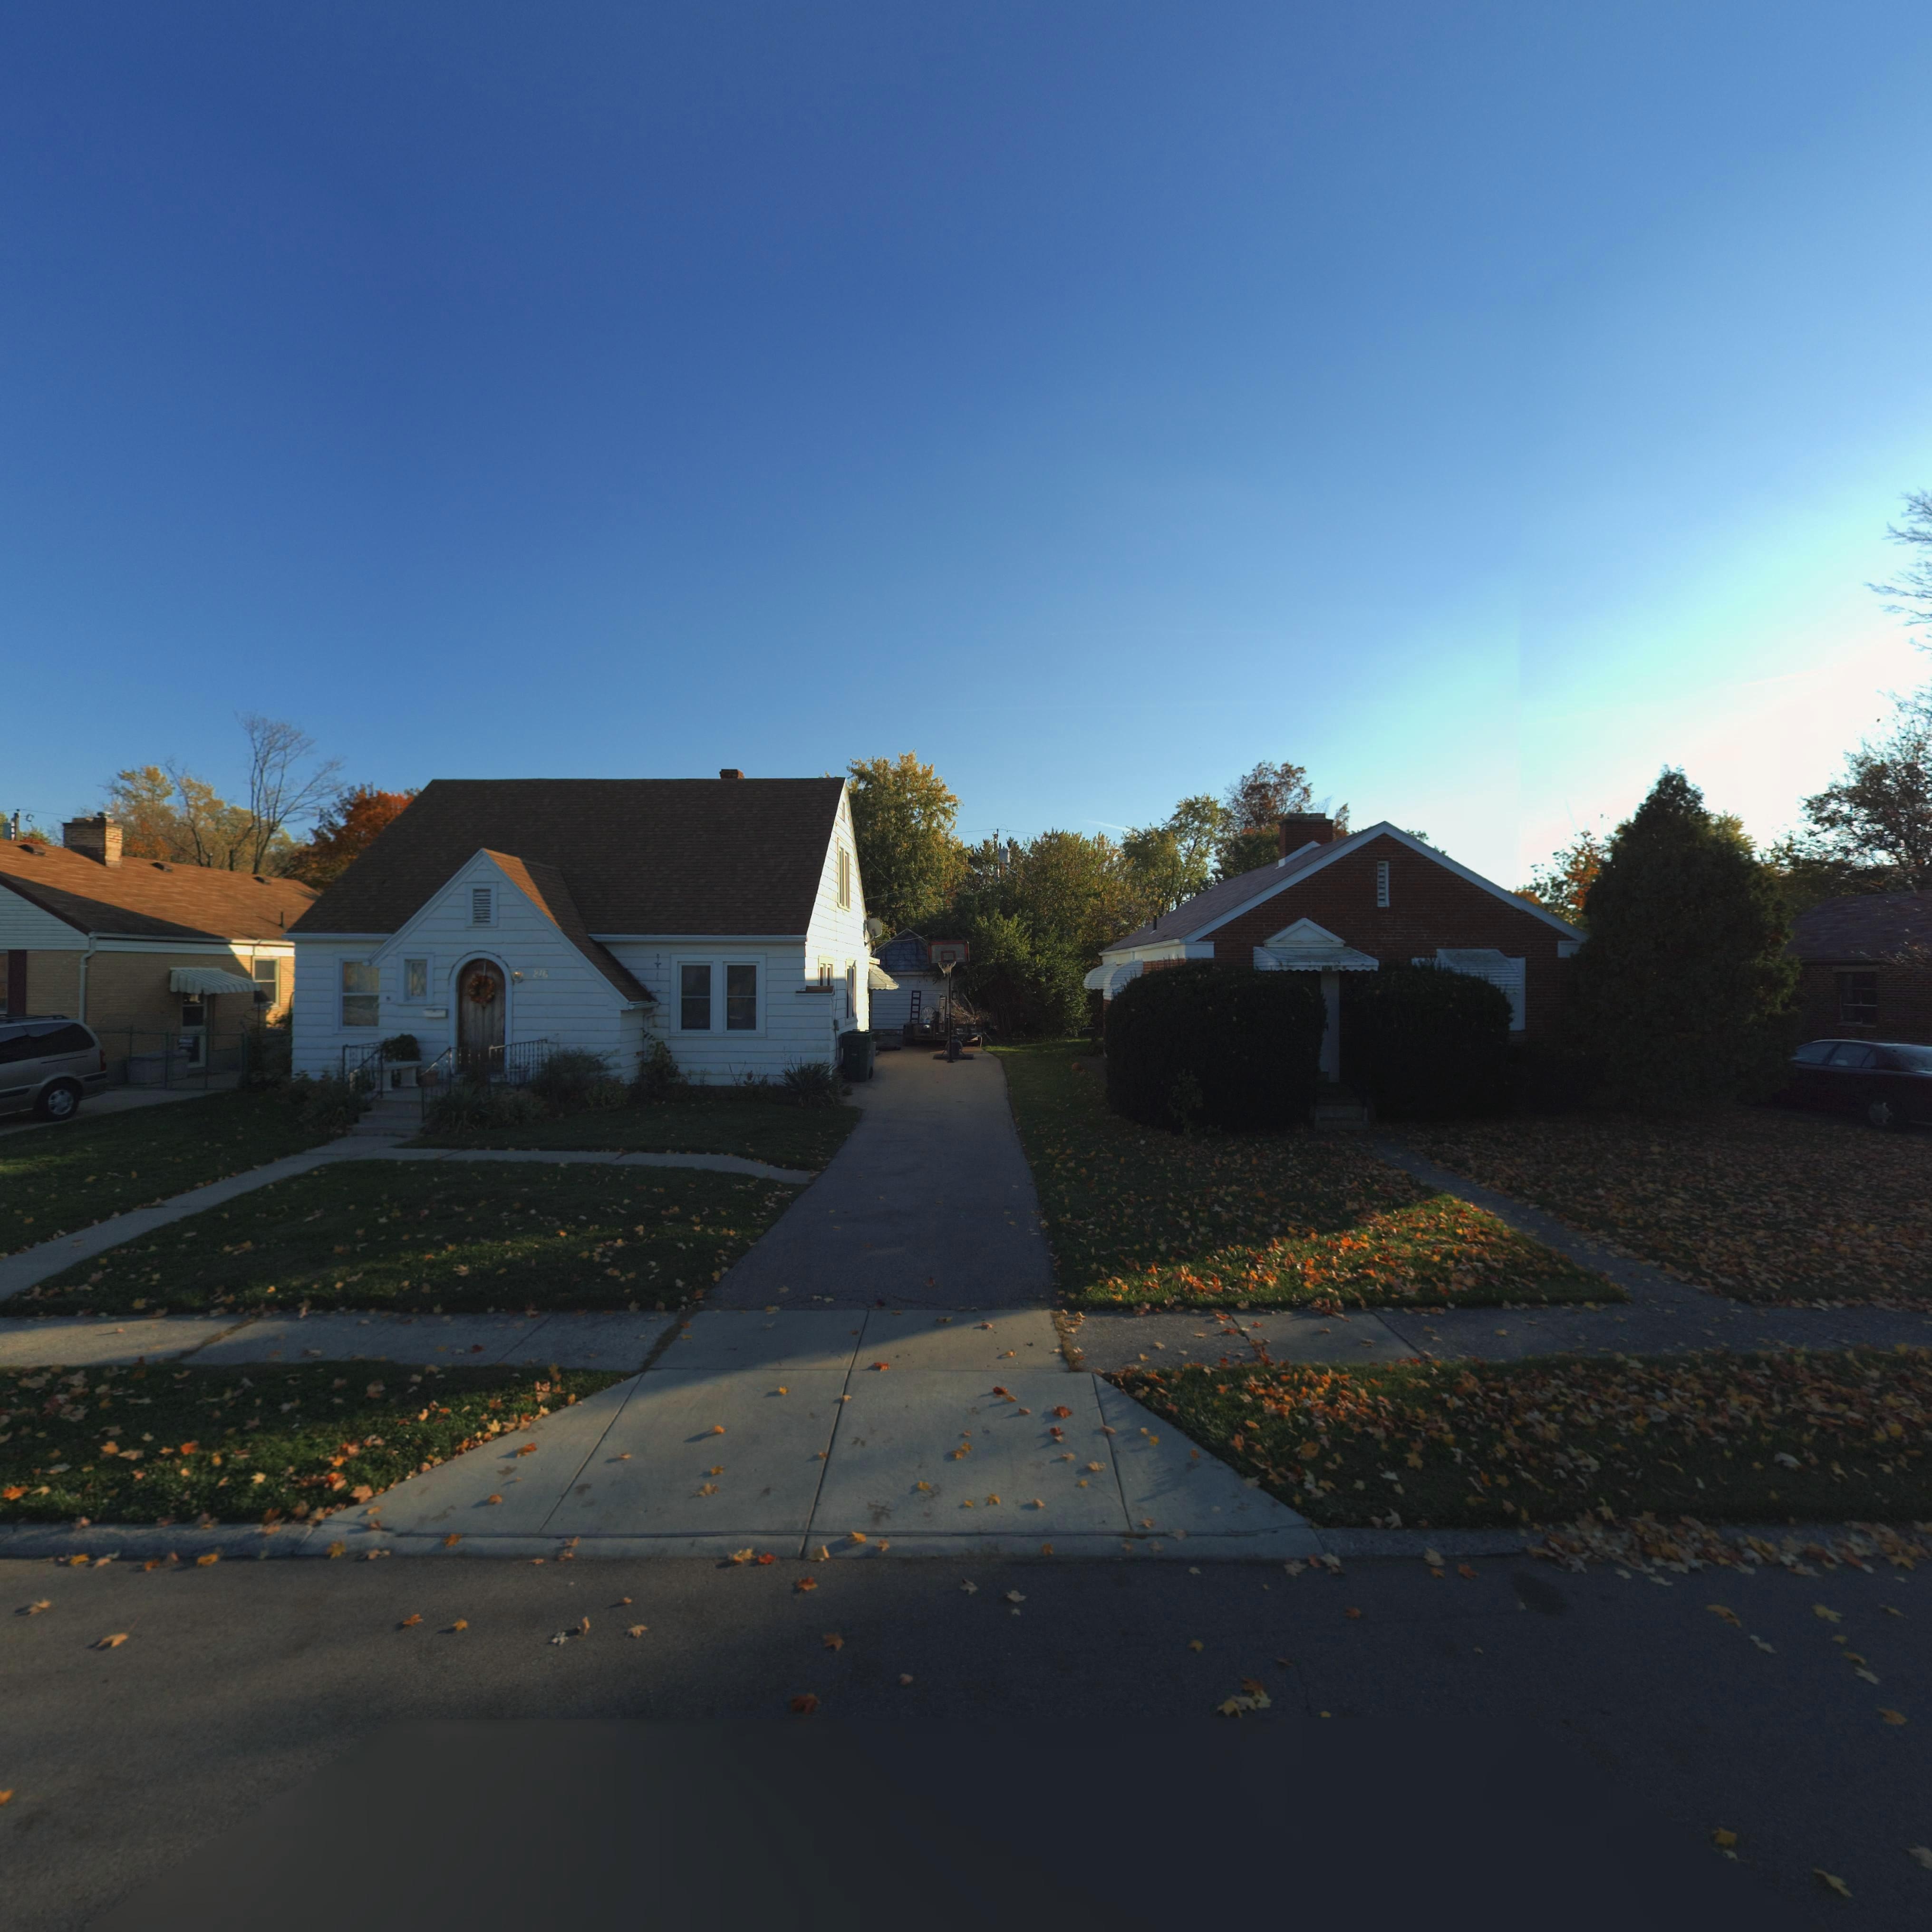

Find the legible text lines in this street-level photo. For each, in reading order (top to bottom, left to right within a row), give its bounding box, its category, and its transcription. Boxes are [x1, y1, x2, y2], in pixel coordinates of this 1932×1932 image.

[531, 968, 550, 978] StreetNumber: 216